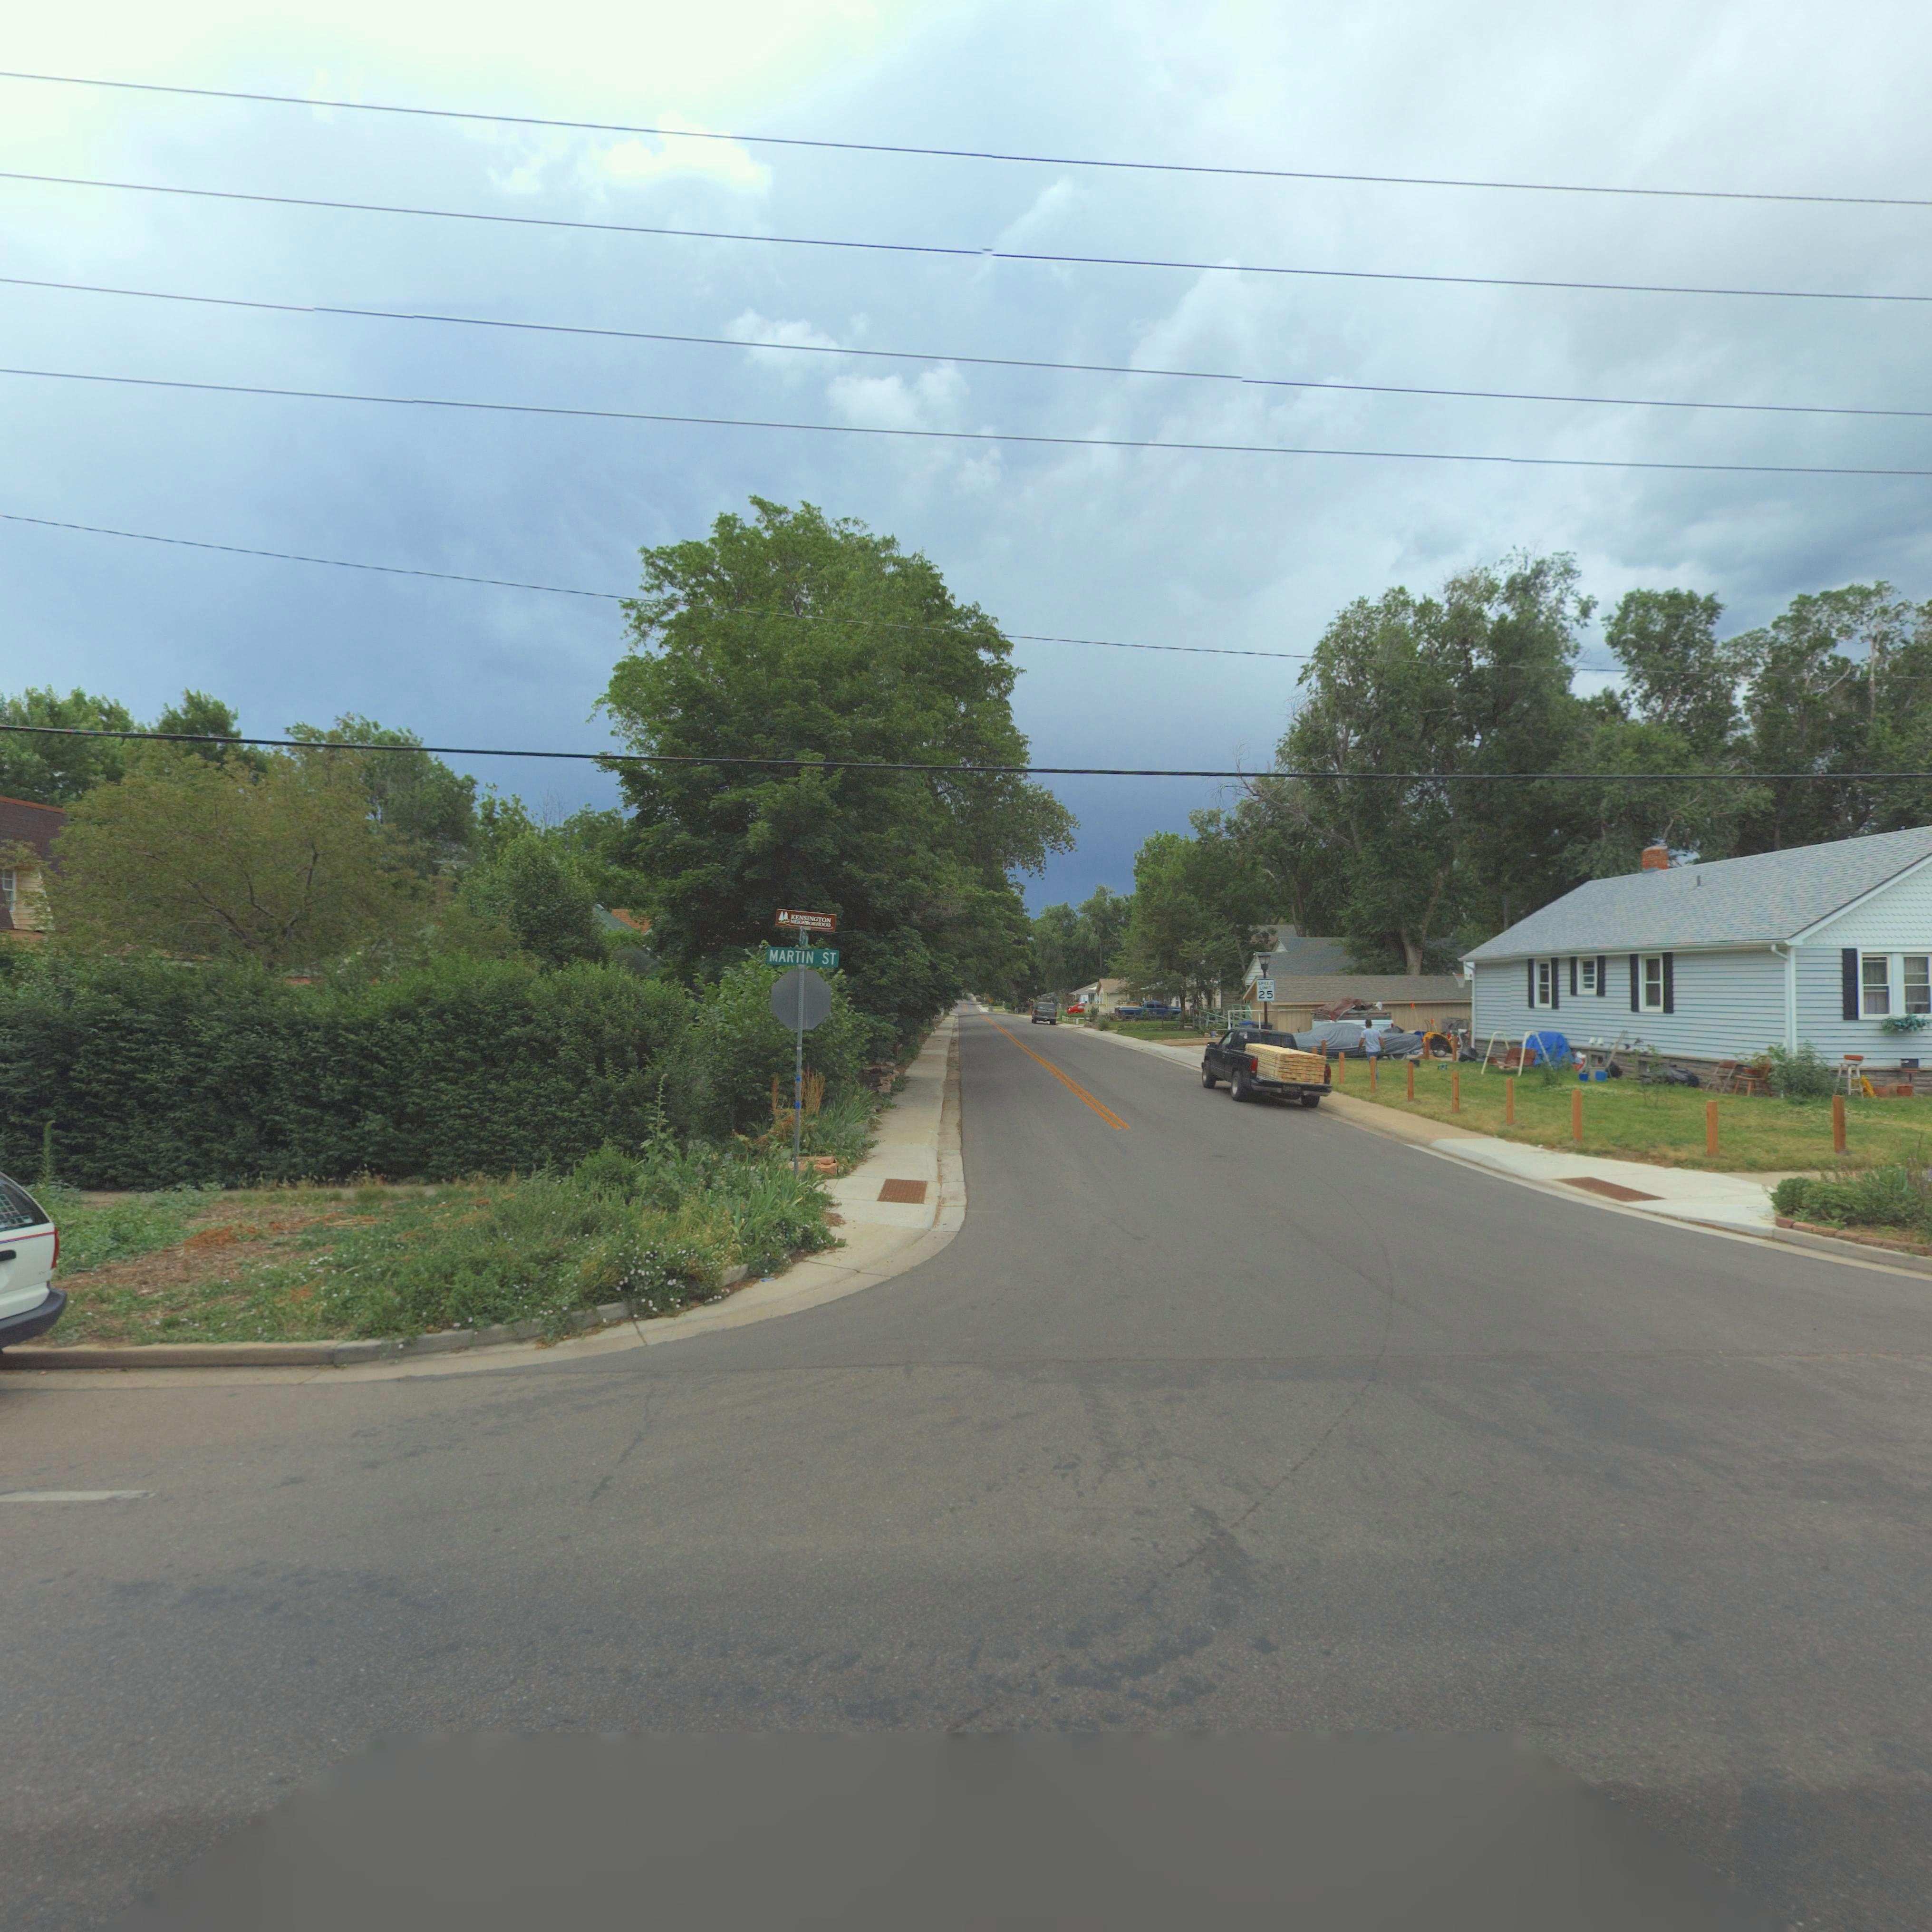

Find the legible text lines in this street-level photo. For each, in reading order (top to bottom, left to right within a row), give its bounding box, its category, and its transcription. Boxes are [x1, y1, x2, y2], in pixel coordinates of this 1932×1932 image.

[799, 928, 805, 944] StreetName: E 5**
[769, 949, 836, 965] StreetName: MARTIN ST